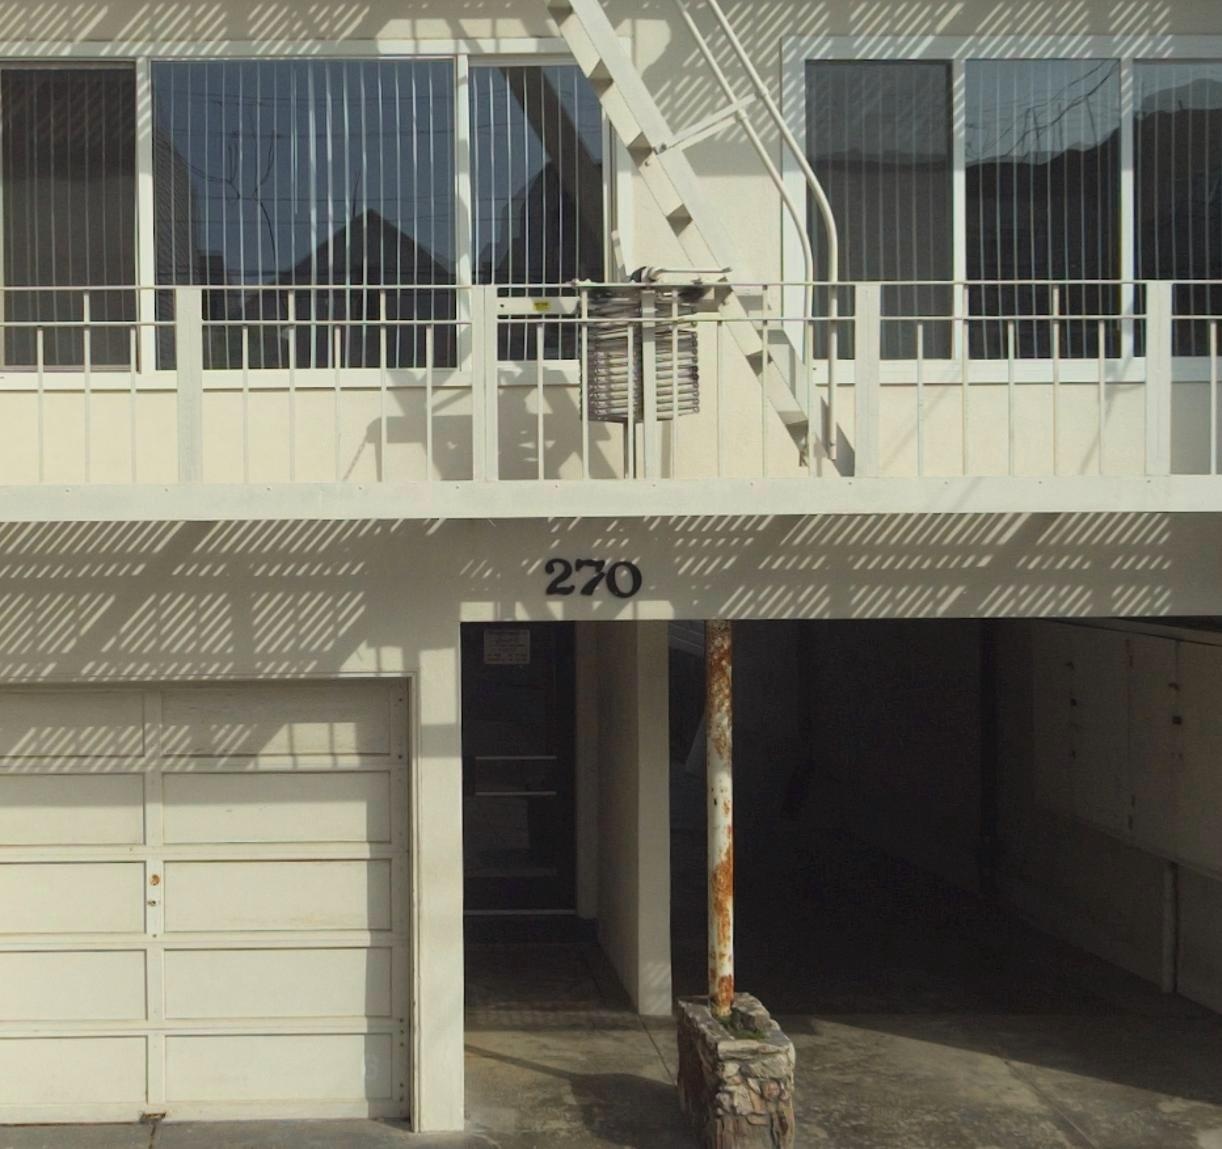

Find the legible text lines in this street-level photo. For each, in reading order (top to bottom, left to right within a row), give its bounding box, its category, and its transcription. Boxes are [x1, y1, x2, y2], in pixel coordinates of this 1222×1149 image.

[542, 554, 644, 602] StreetNumber: 270